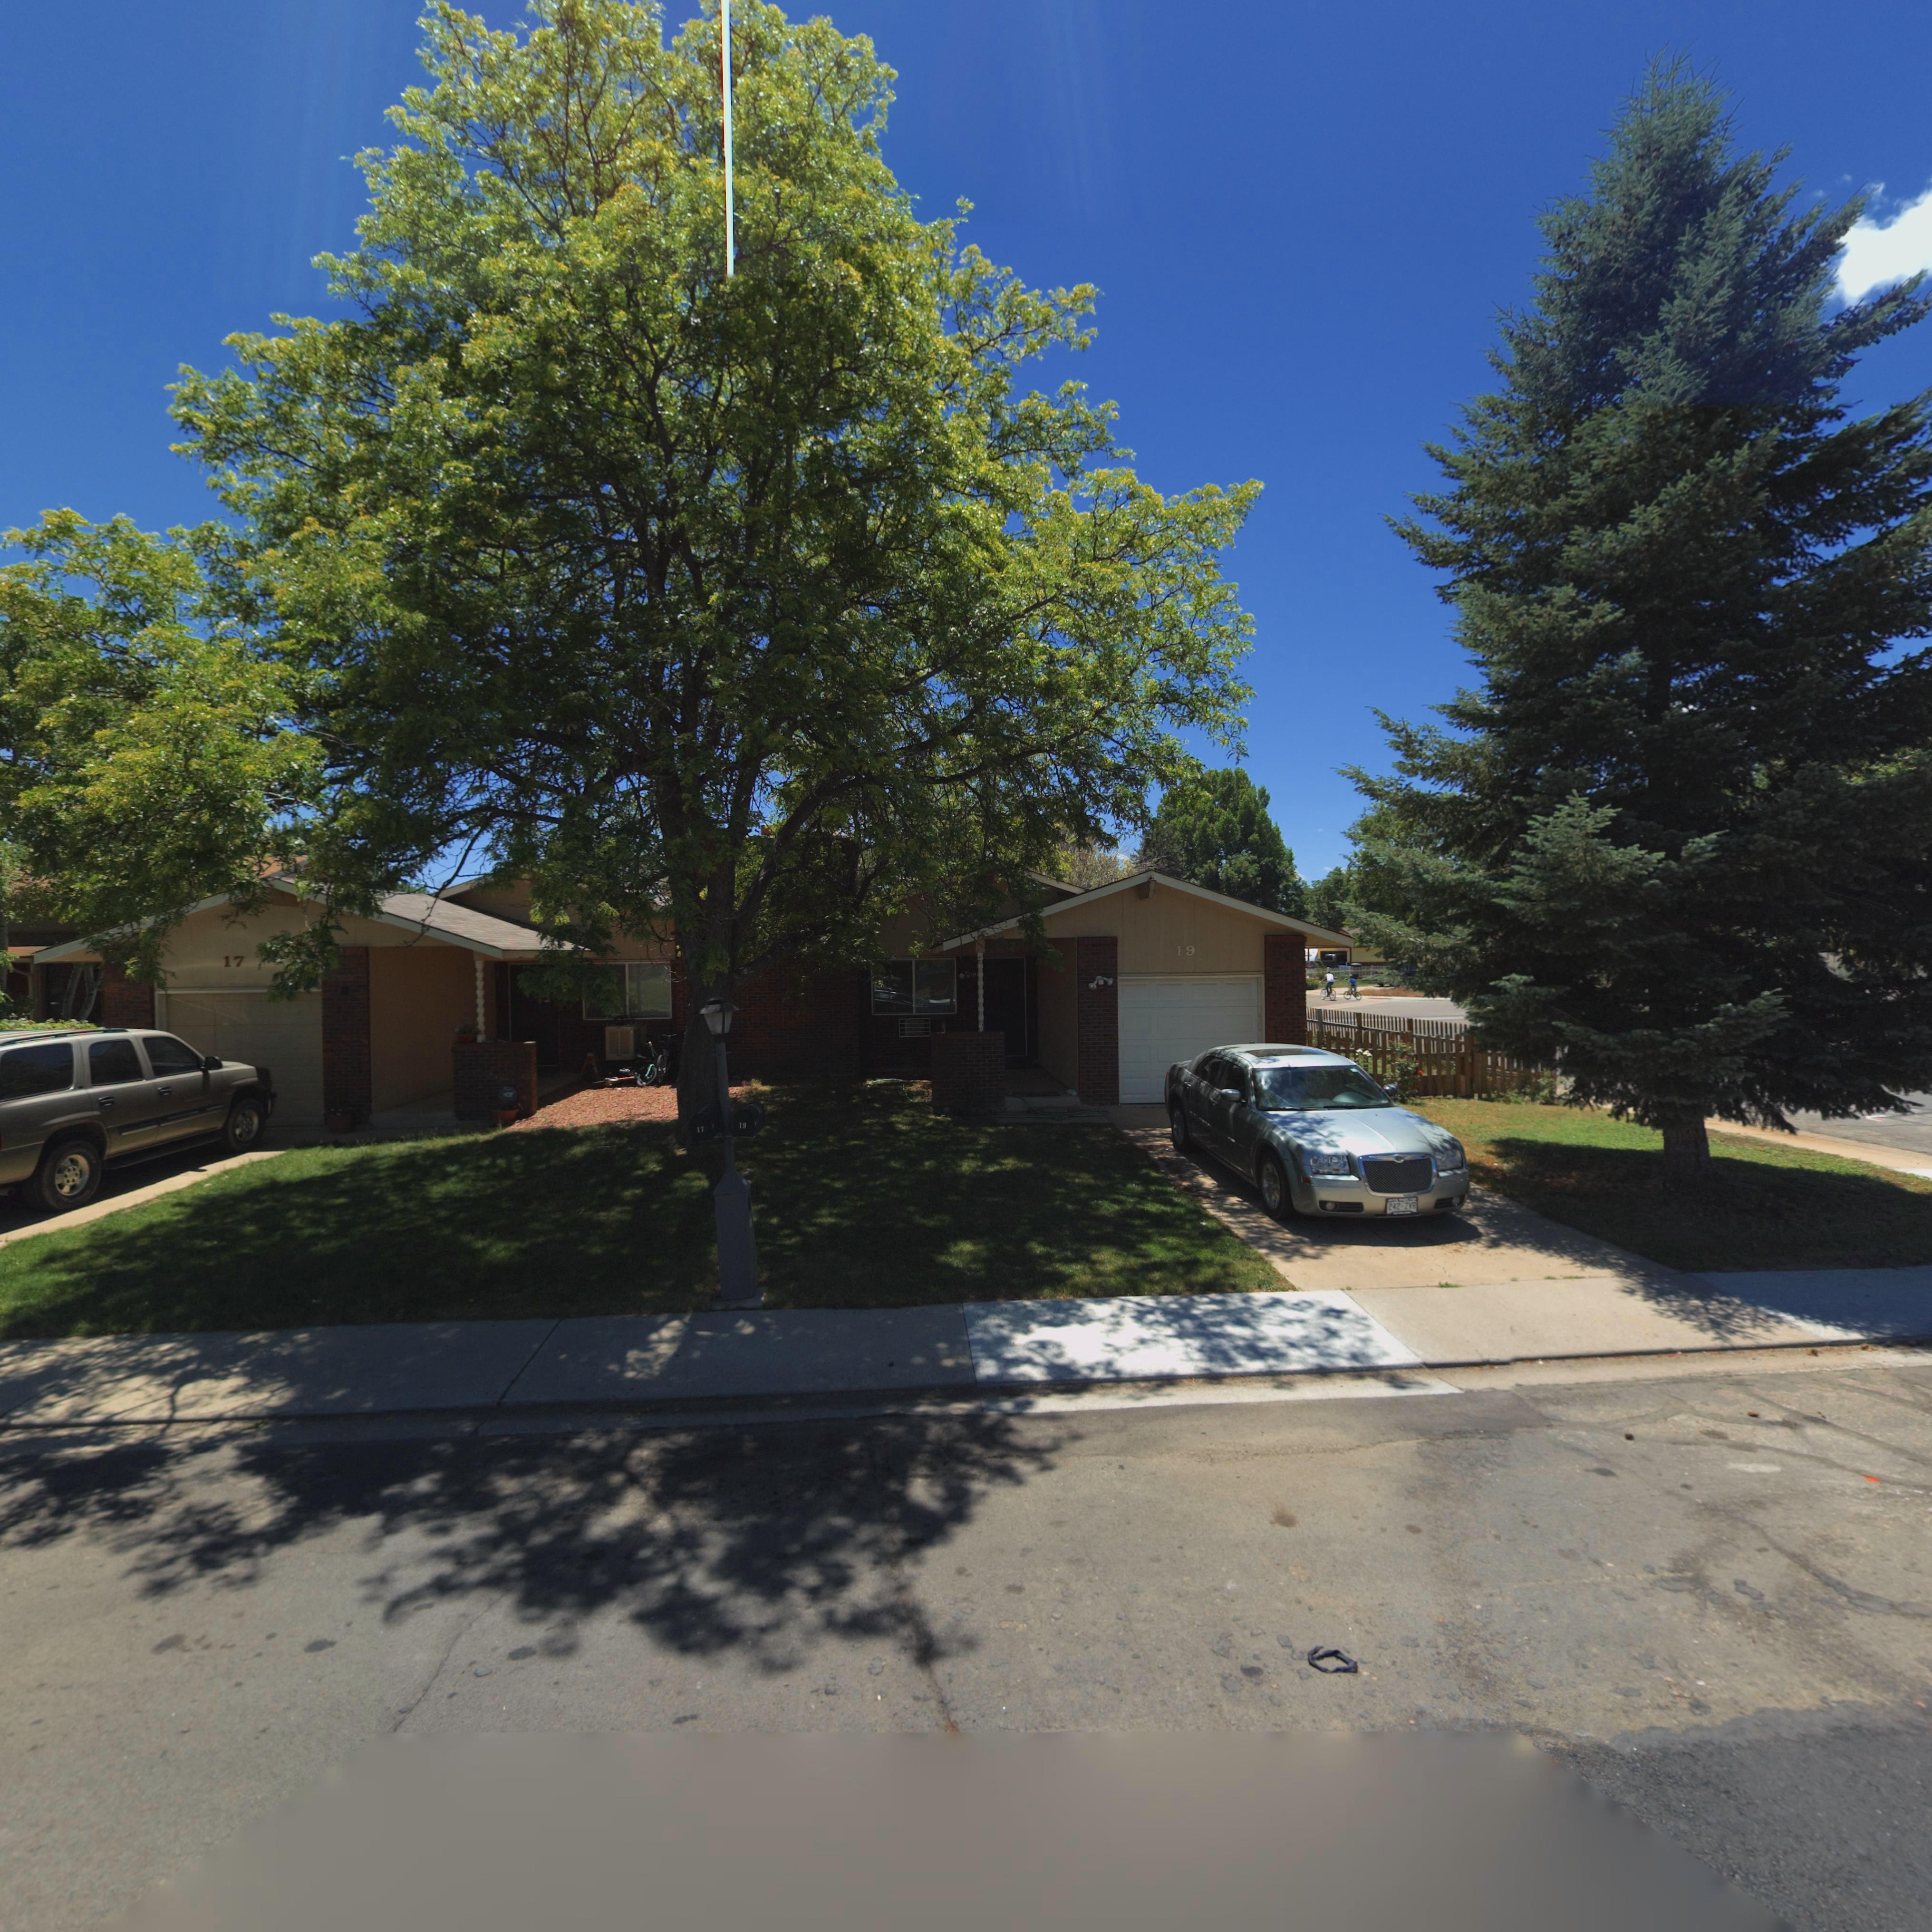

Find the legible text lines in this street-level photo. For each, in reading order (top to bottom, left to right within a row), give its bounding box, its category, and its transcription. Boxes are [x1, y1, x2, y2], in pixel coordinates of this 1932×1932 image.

[1176, 945, 1195, 956] StreetNumber: 19
[222, 955, 245, 967] StreetNumber: 17
[696, 1126, 704, 1133] StreetNumber: 17
[739, 1122, 746, 1129] StreetNumber: 19